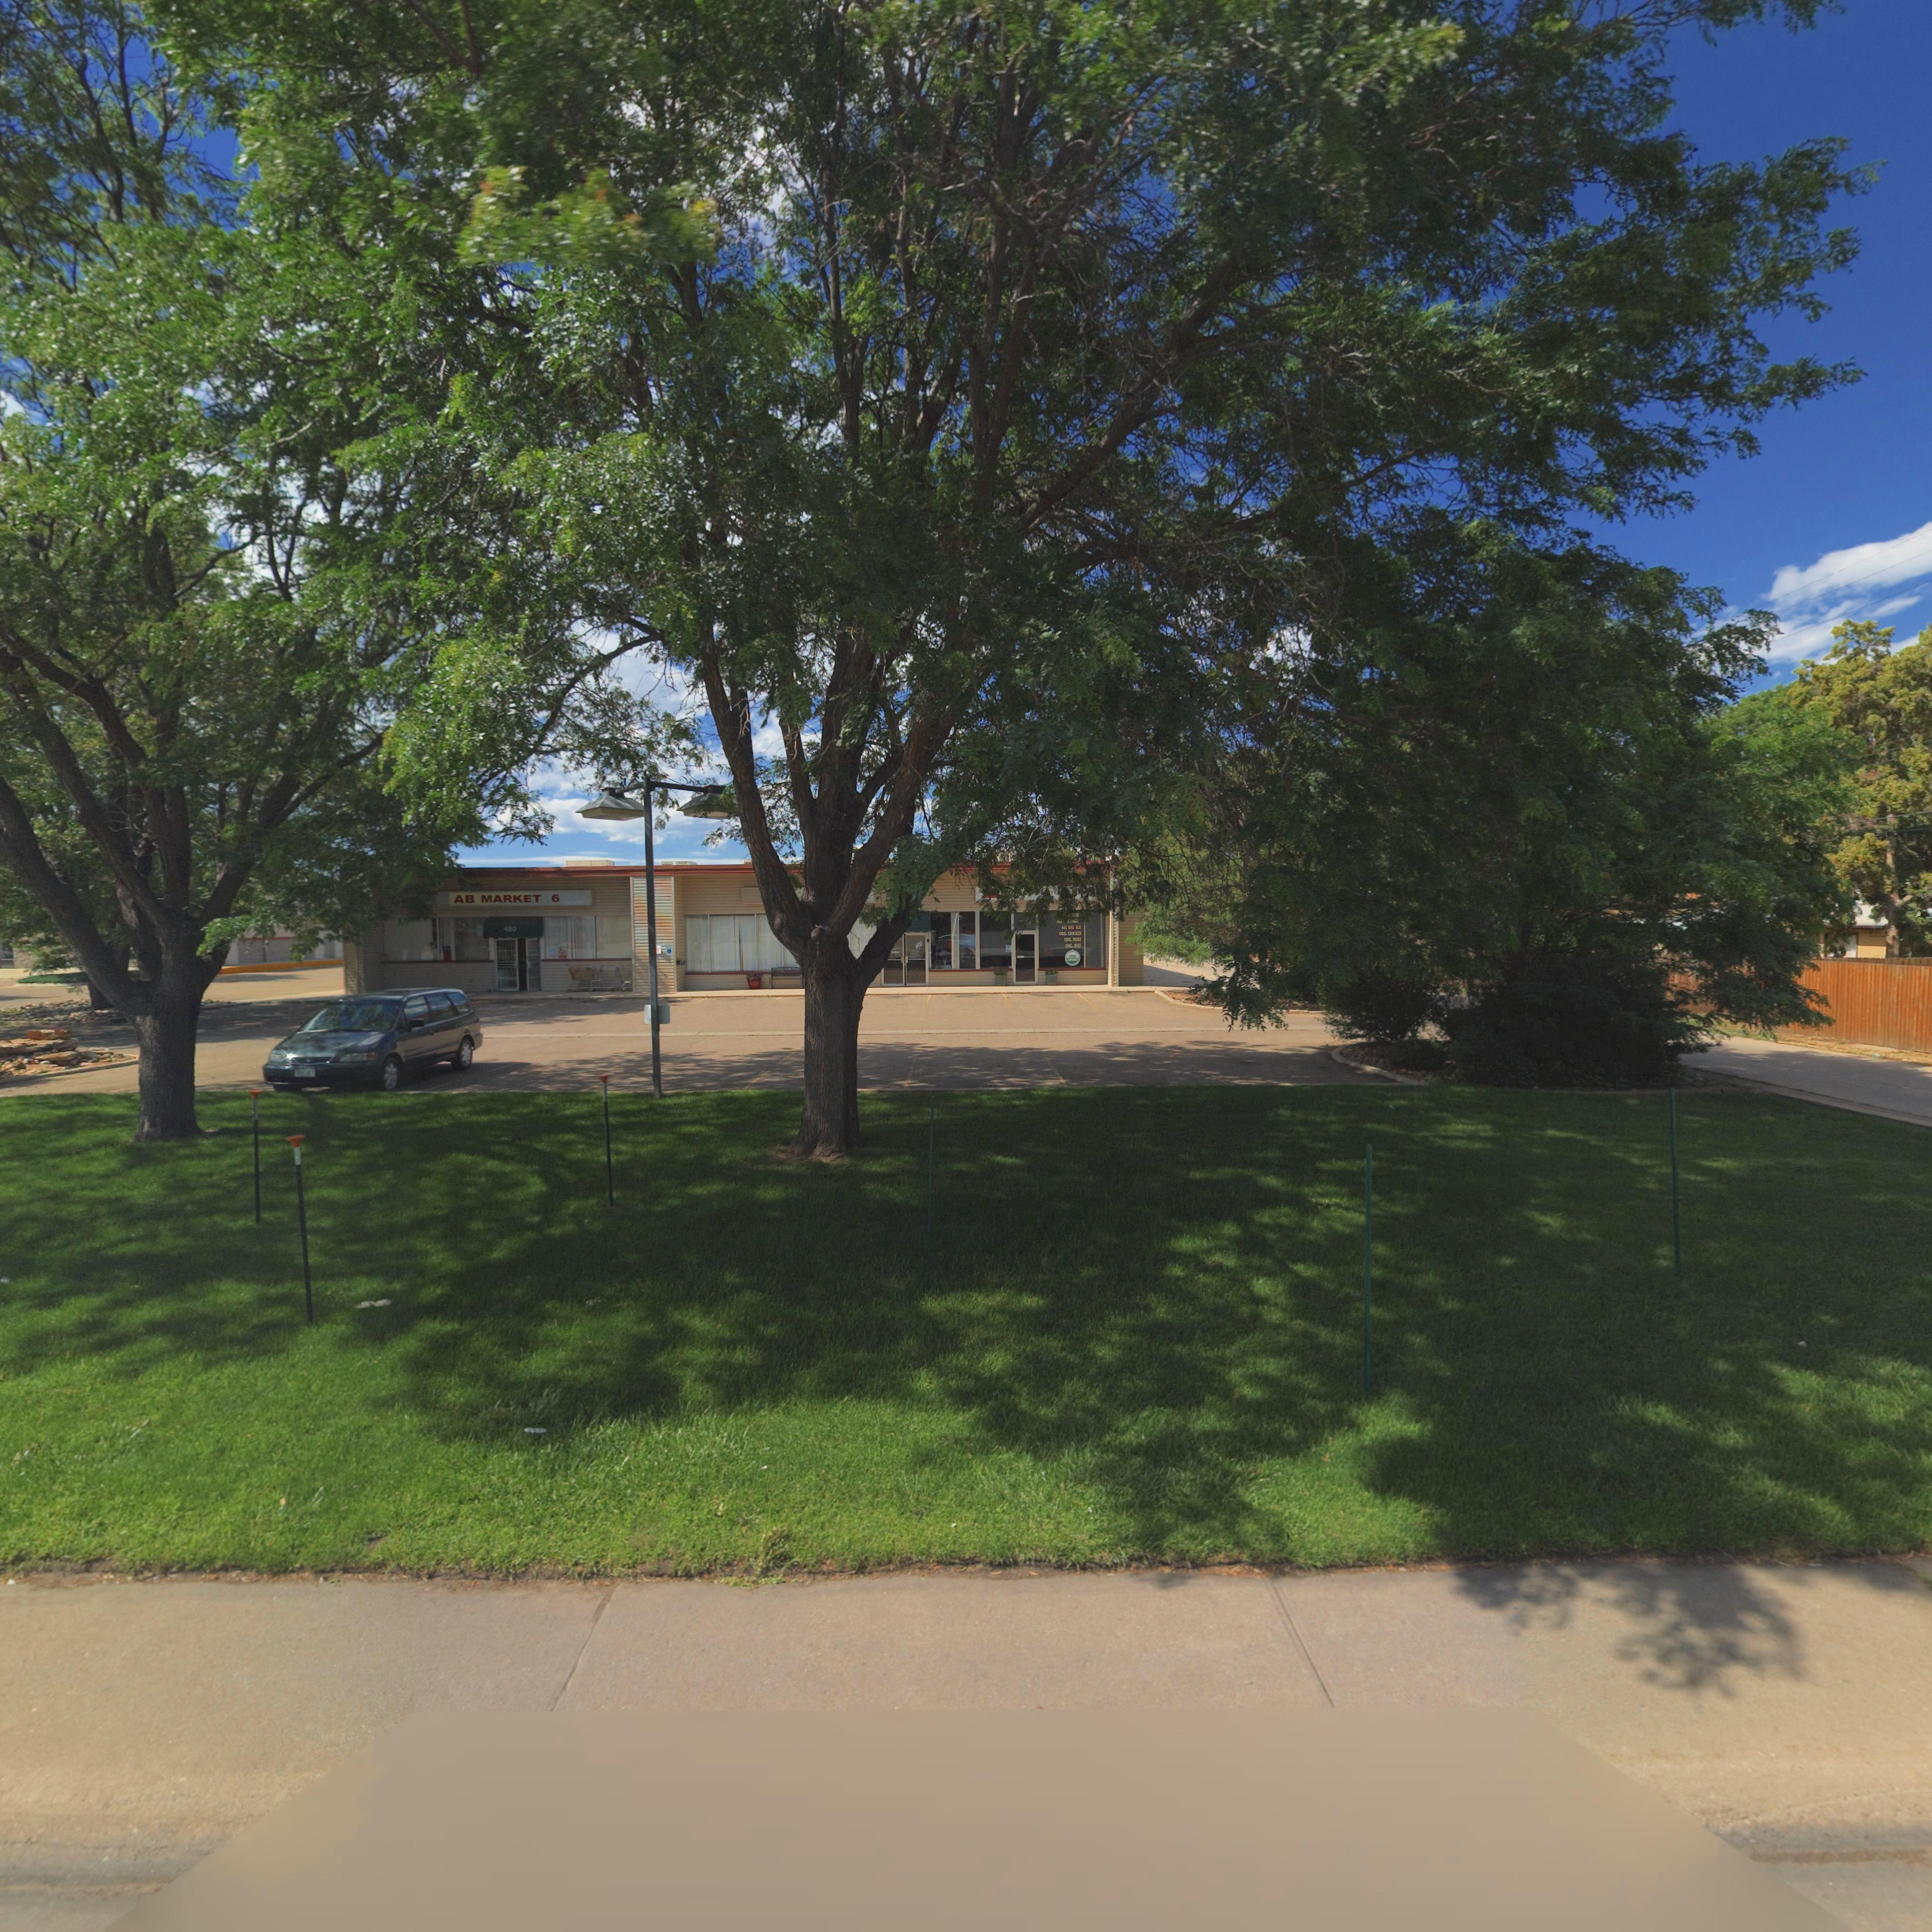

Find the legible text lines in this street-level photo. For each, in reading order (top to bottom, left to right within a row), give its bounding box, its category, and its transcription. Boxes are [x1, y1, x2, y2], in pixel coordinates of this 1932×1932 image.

[1048, 889, 1062, 895] BusinessName: TI*
[452, 893, 561, 904] BusinessName: AB MARKET 6
[502, 925, 518, 932] StreetNumber: 4*0